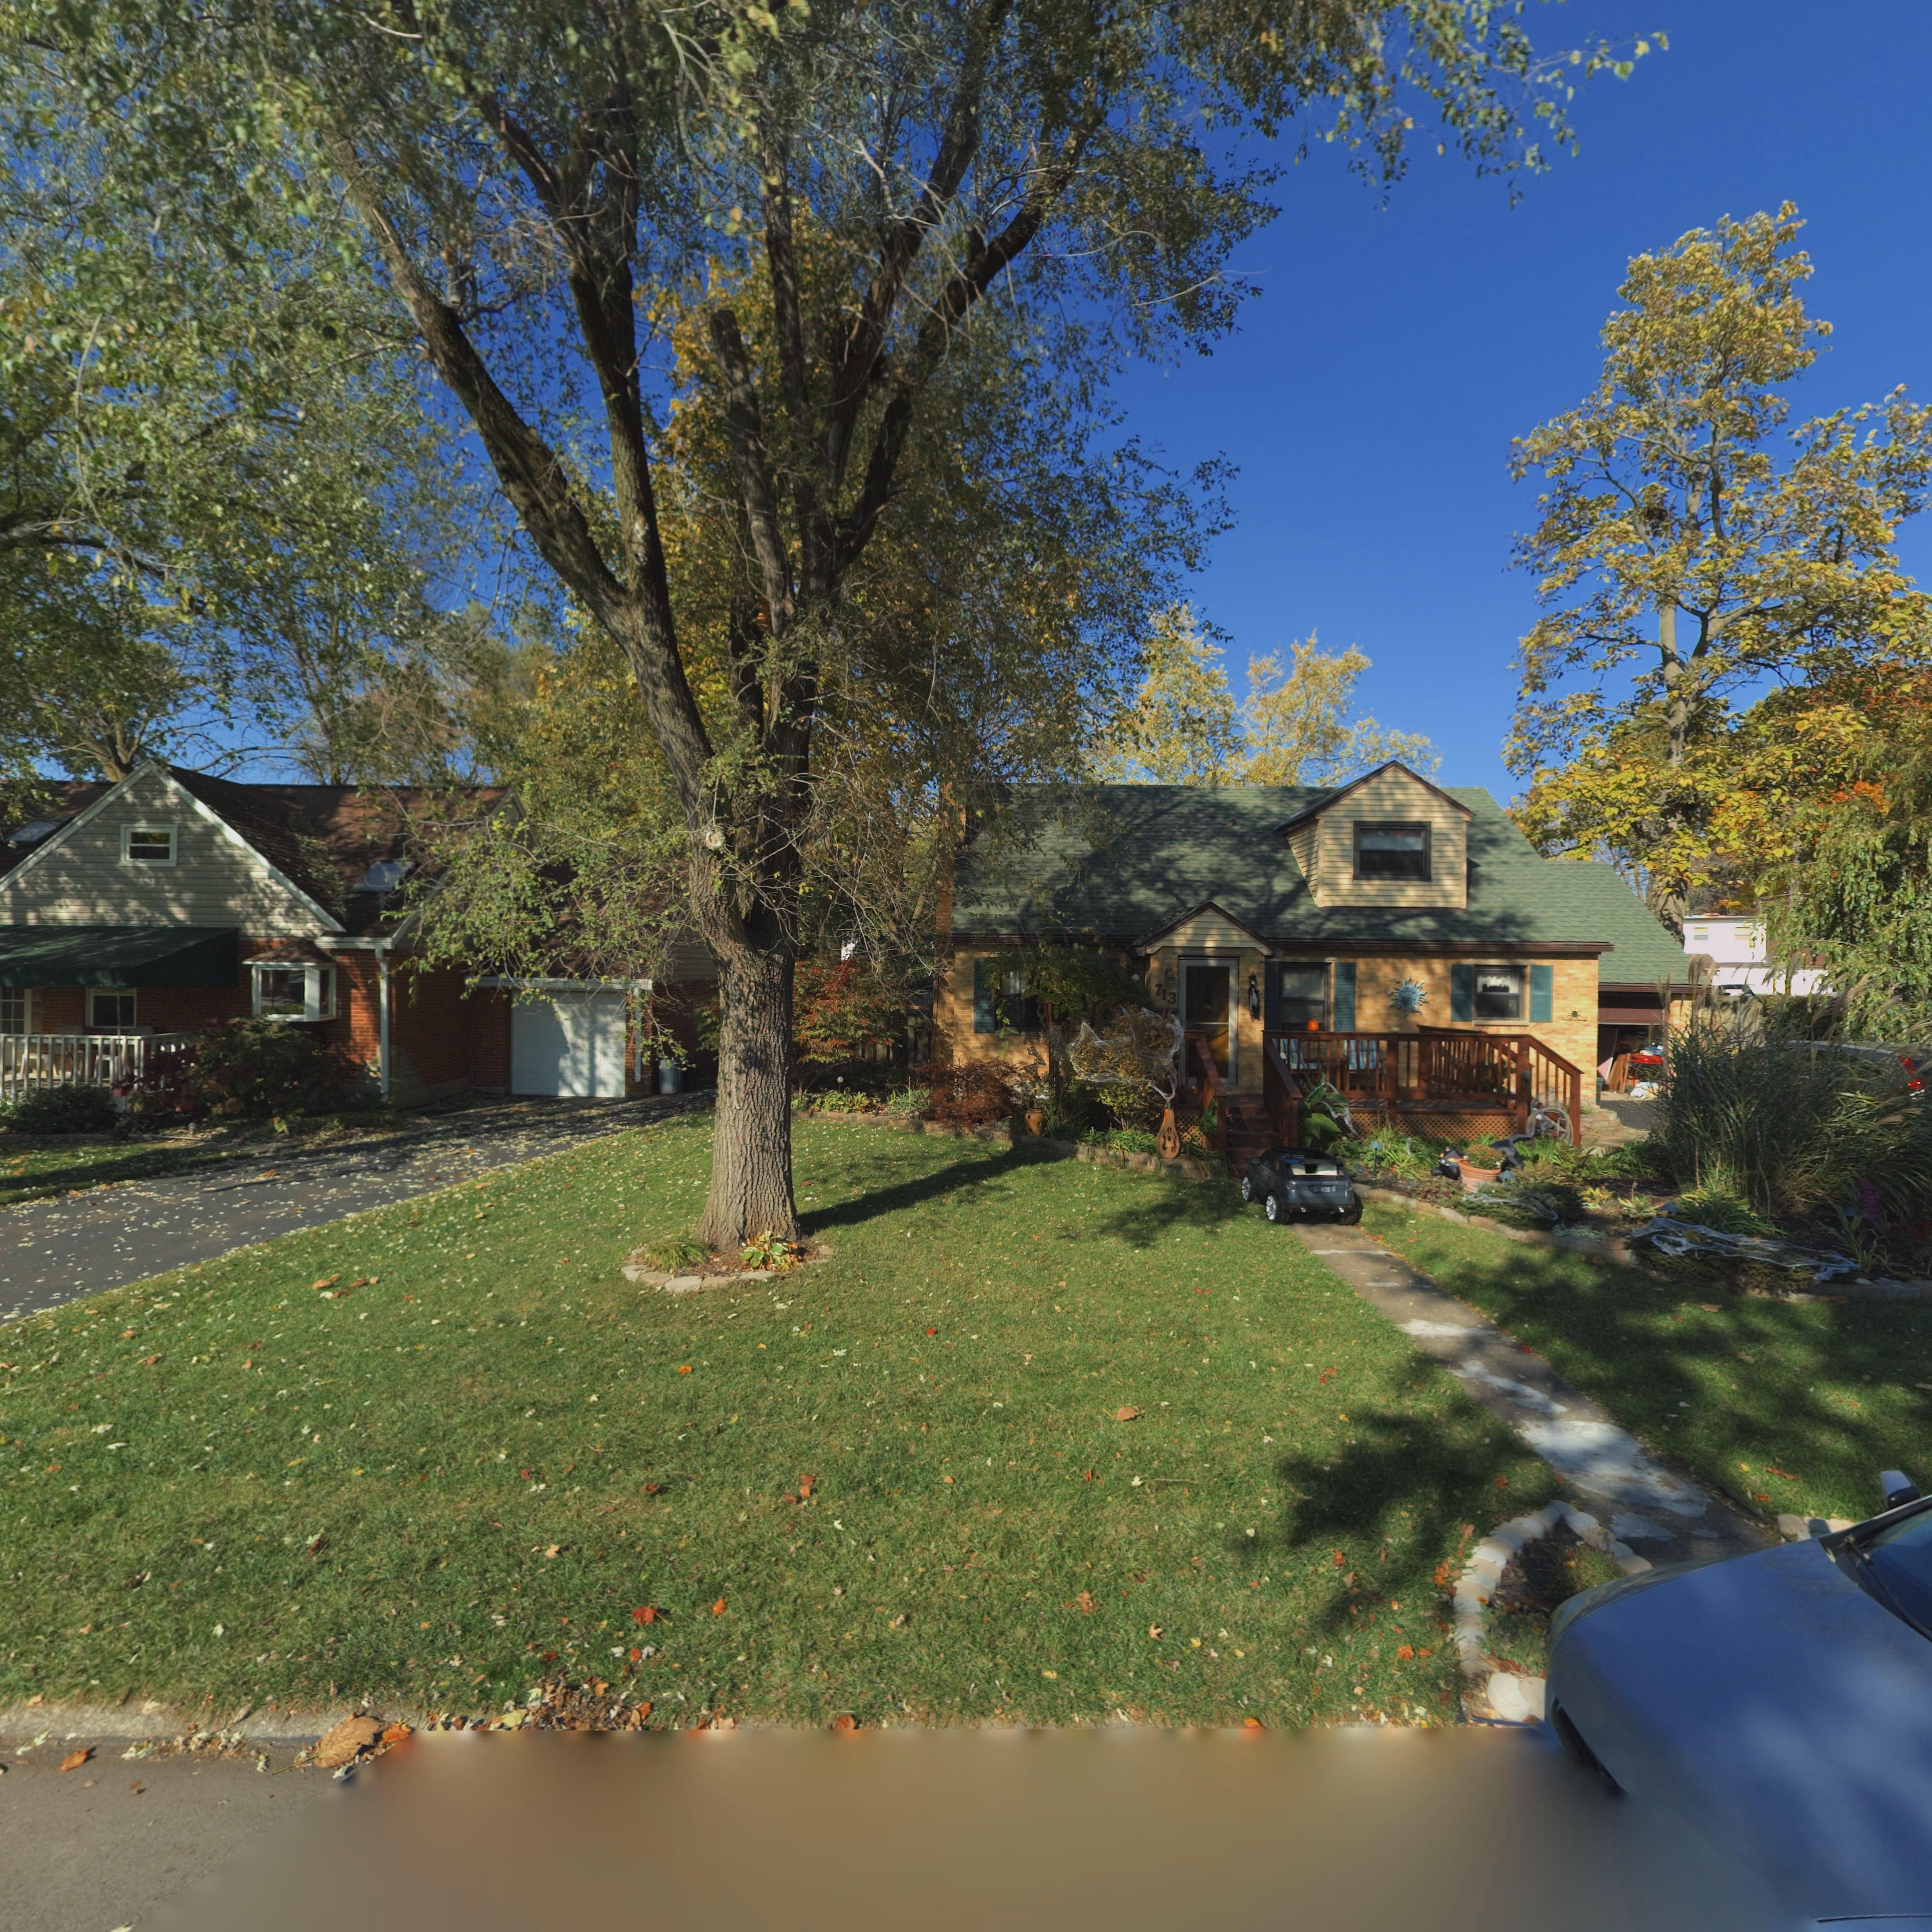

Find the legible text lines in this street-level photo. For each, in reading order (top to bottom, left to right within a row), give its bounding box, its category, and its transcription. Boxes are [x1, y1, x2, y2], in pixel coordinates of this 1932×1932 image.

[1154, 983, 1178, 1005] StreetNumber: 713